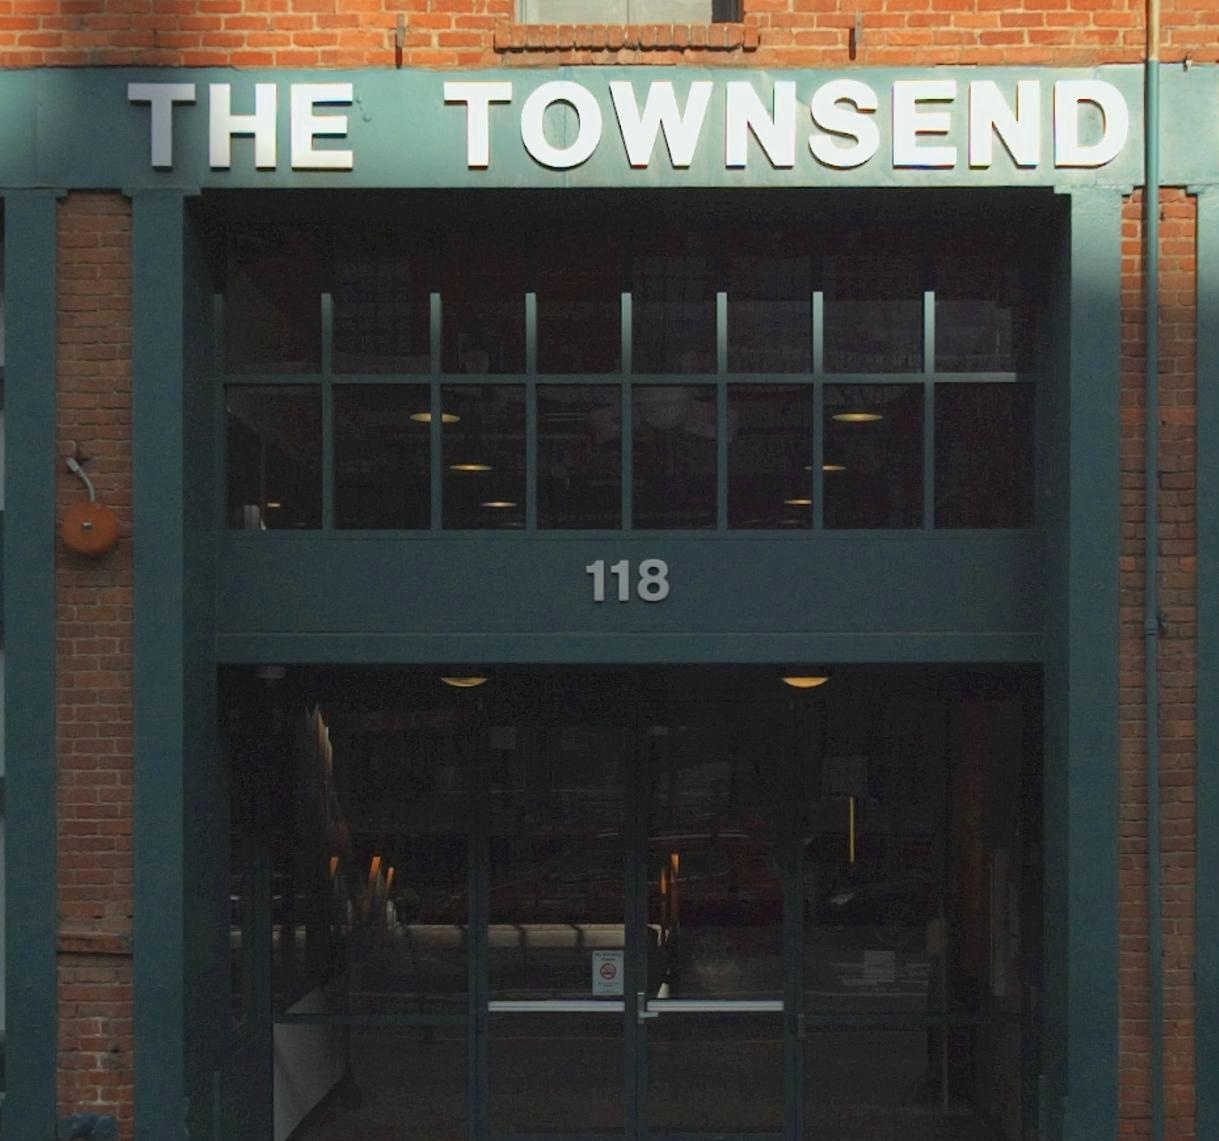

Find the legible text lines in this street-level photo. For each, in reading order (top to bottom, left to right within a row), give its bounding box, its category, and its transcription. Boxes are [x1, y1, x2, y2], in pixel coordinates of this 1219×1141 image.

[119, 75, 1134, 174] BusinessName: THE TOWNSEND
[582, 556, 672, 604] StreetNumber: 118